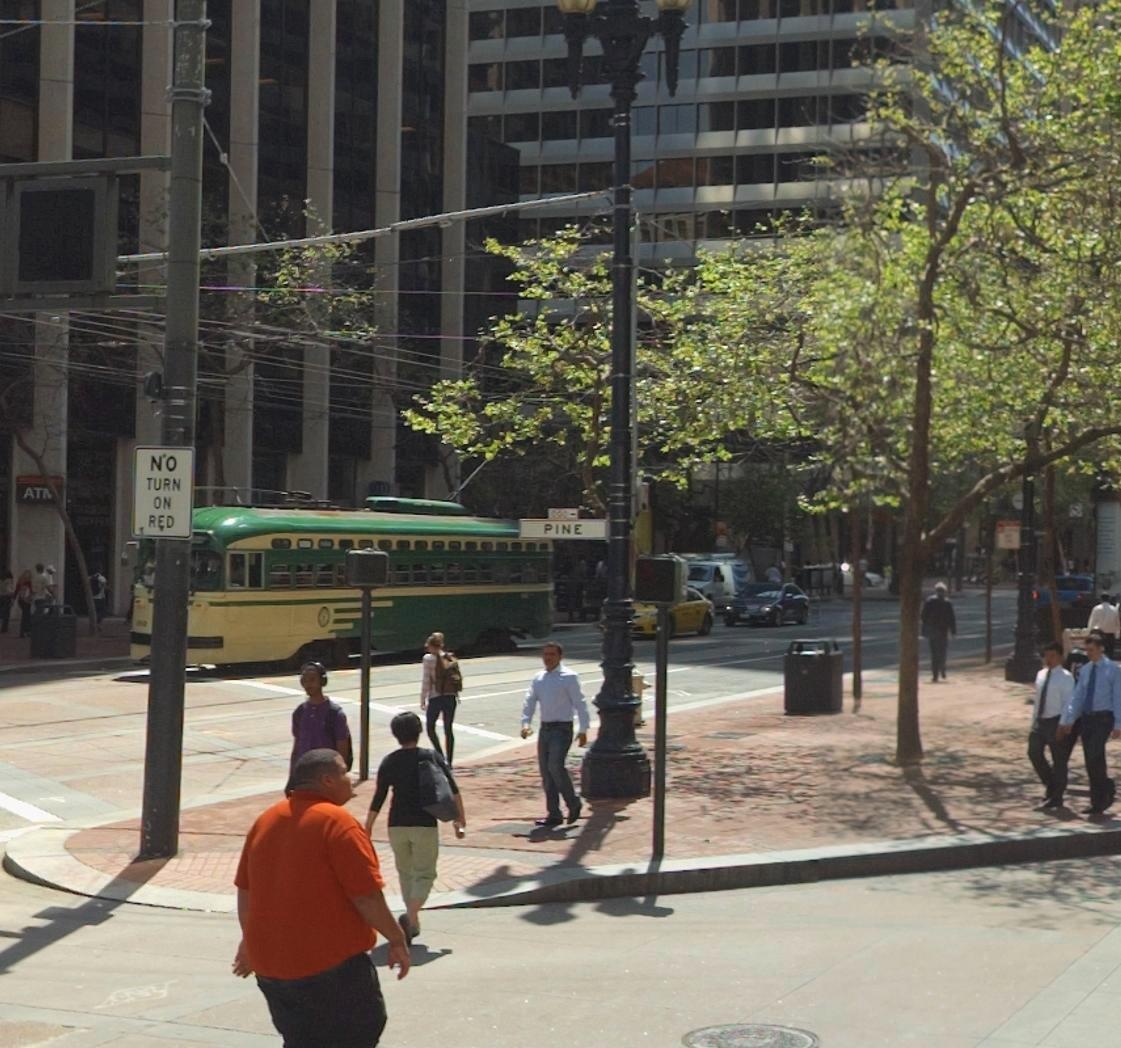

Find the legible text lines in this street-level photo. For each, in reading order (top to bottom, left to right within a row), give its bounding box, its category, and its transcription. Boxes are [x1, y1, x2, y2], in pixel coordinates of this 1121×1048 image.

[149, 454, 178, 473] None: NO
[145, 476, 182, 493] None: TURN
[21, 486, 45, 500] None: AT
[153, 495, 173, 511] None: ON
[147, 514, 175, 530] None: RED
[542, 522, 582, 536] StreetName: PINE
[550, 509, 577, 520] StreetNumberRange: 000->